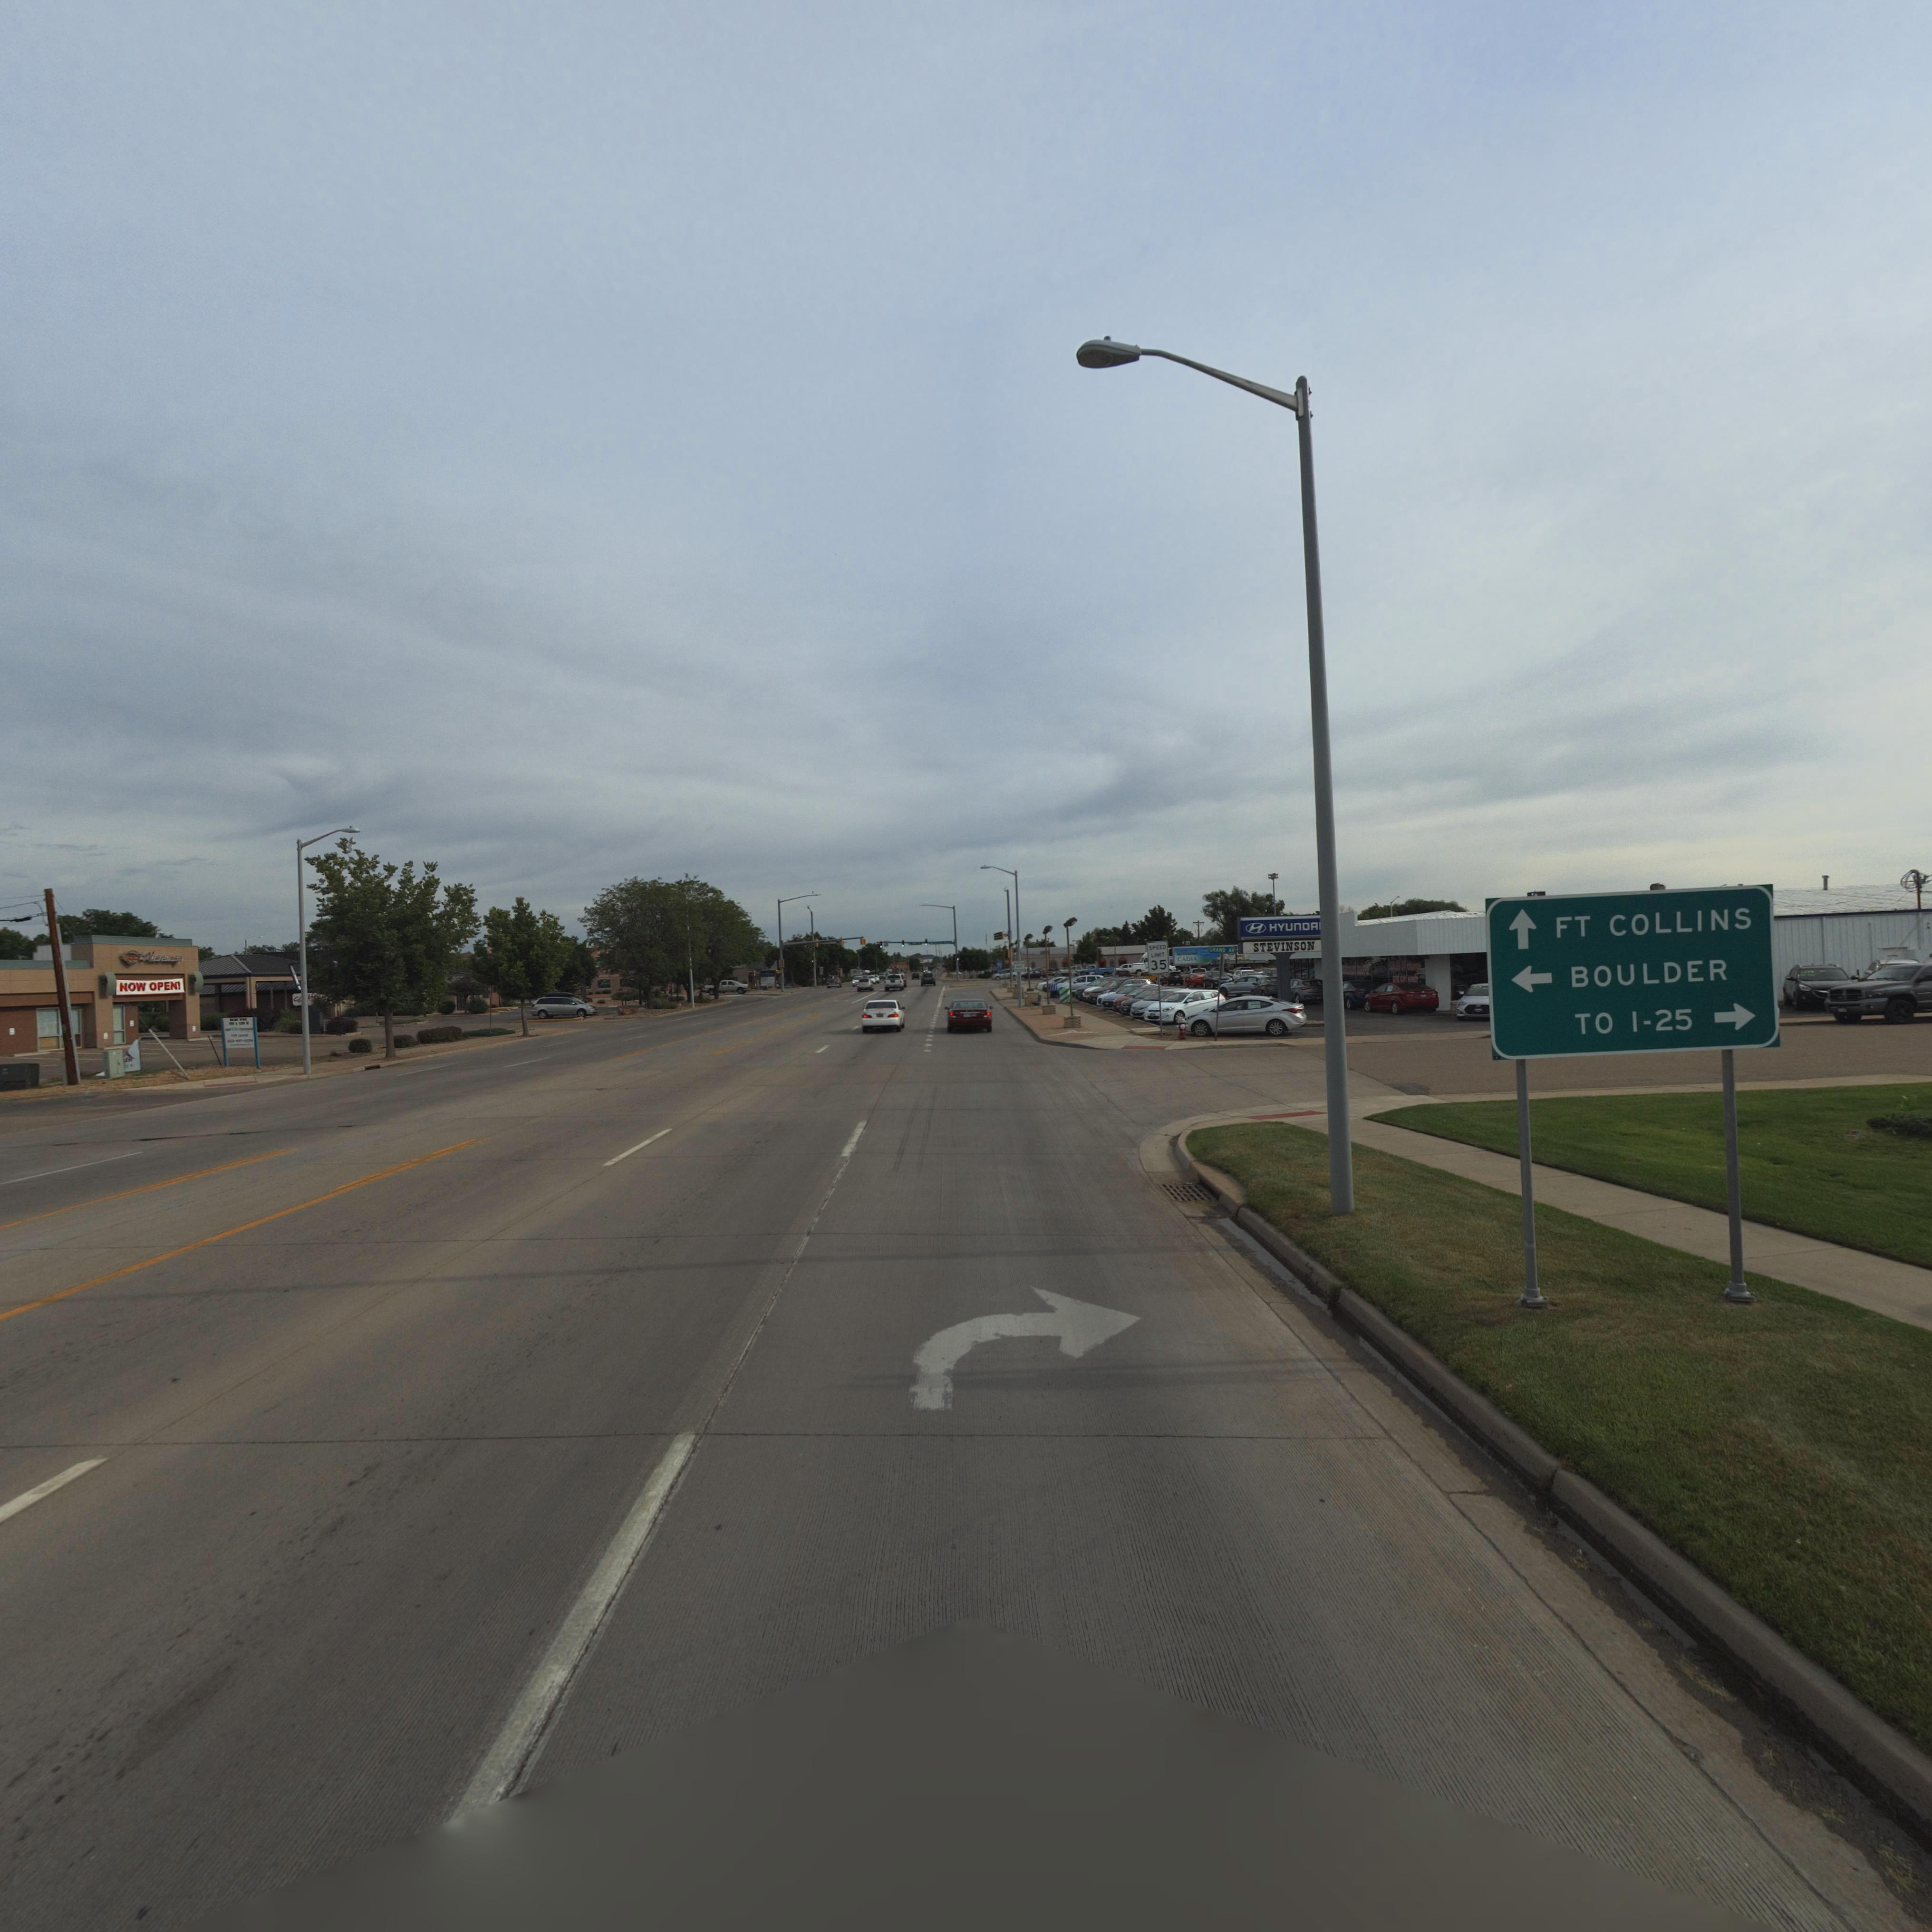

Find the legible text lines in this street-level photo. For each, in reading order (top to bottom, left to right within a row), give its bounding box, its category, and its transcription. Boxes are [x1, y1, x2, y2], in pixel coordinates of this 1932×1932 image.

[1209, 947, 1235, 953] StreetName: GRAND AV
[1253, 941, 1314, 952] BusinessName: STEVINSON
[138, 950, 183, 963] BusinessName: M******
[293, 994, 318, 1003] BusinessName: Go*dfell**